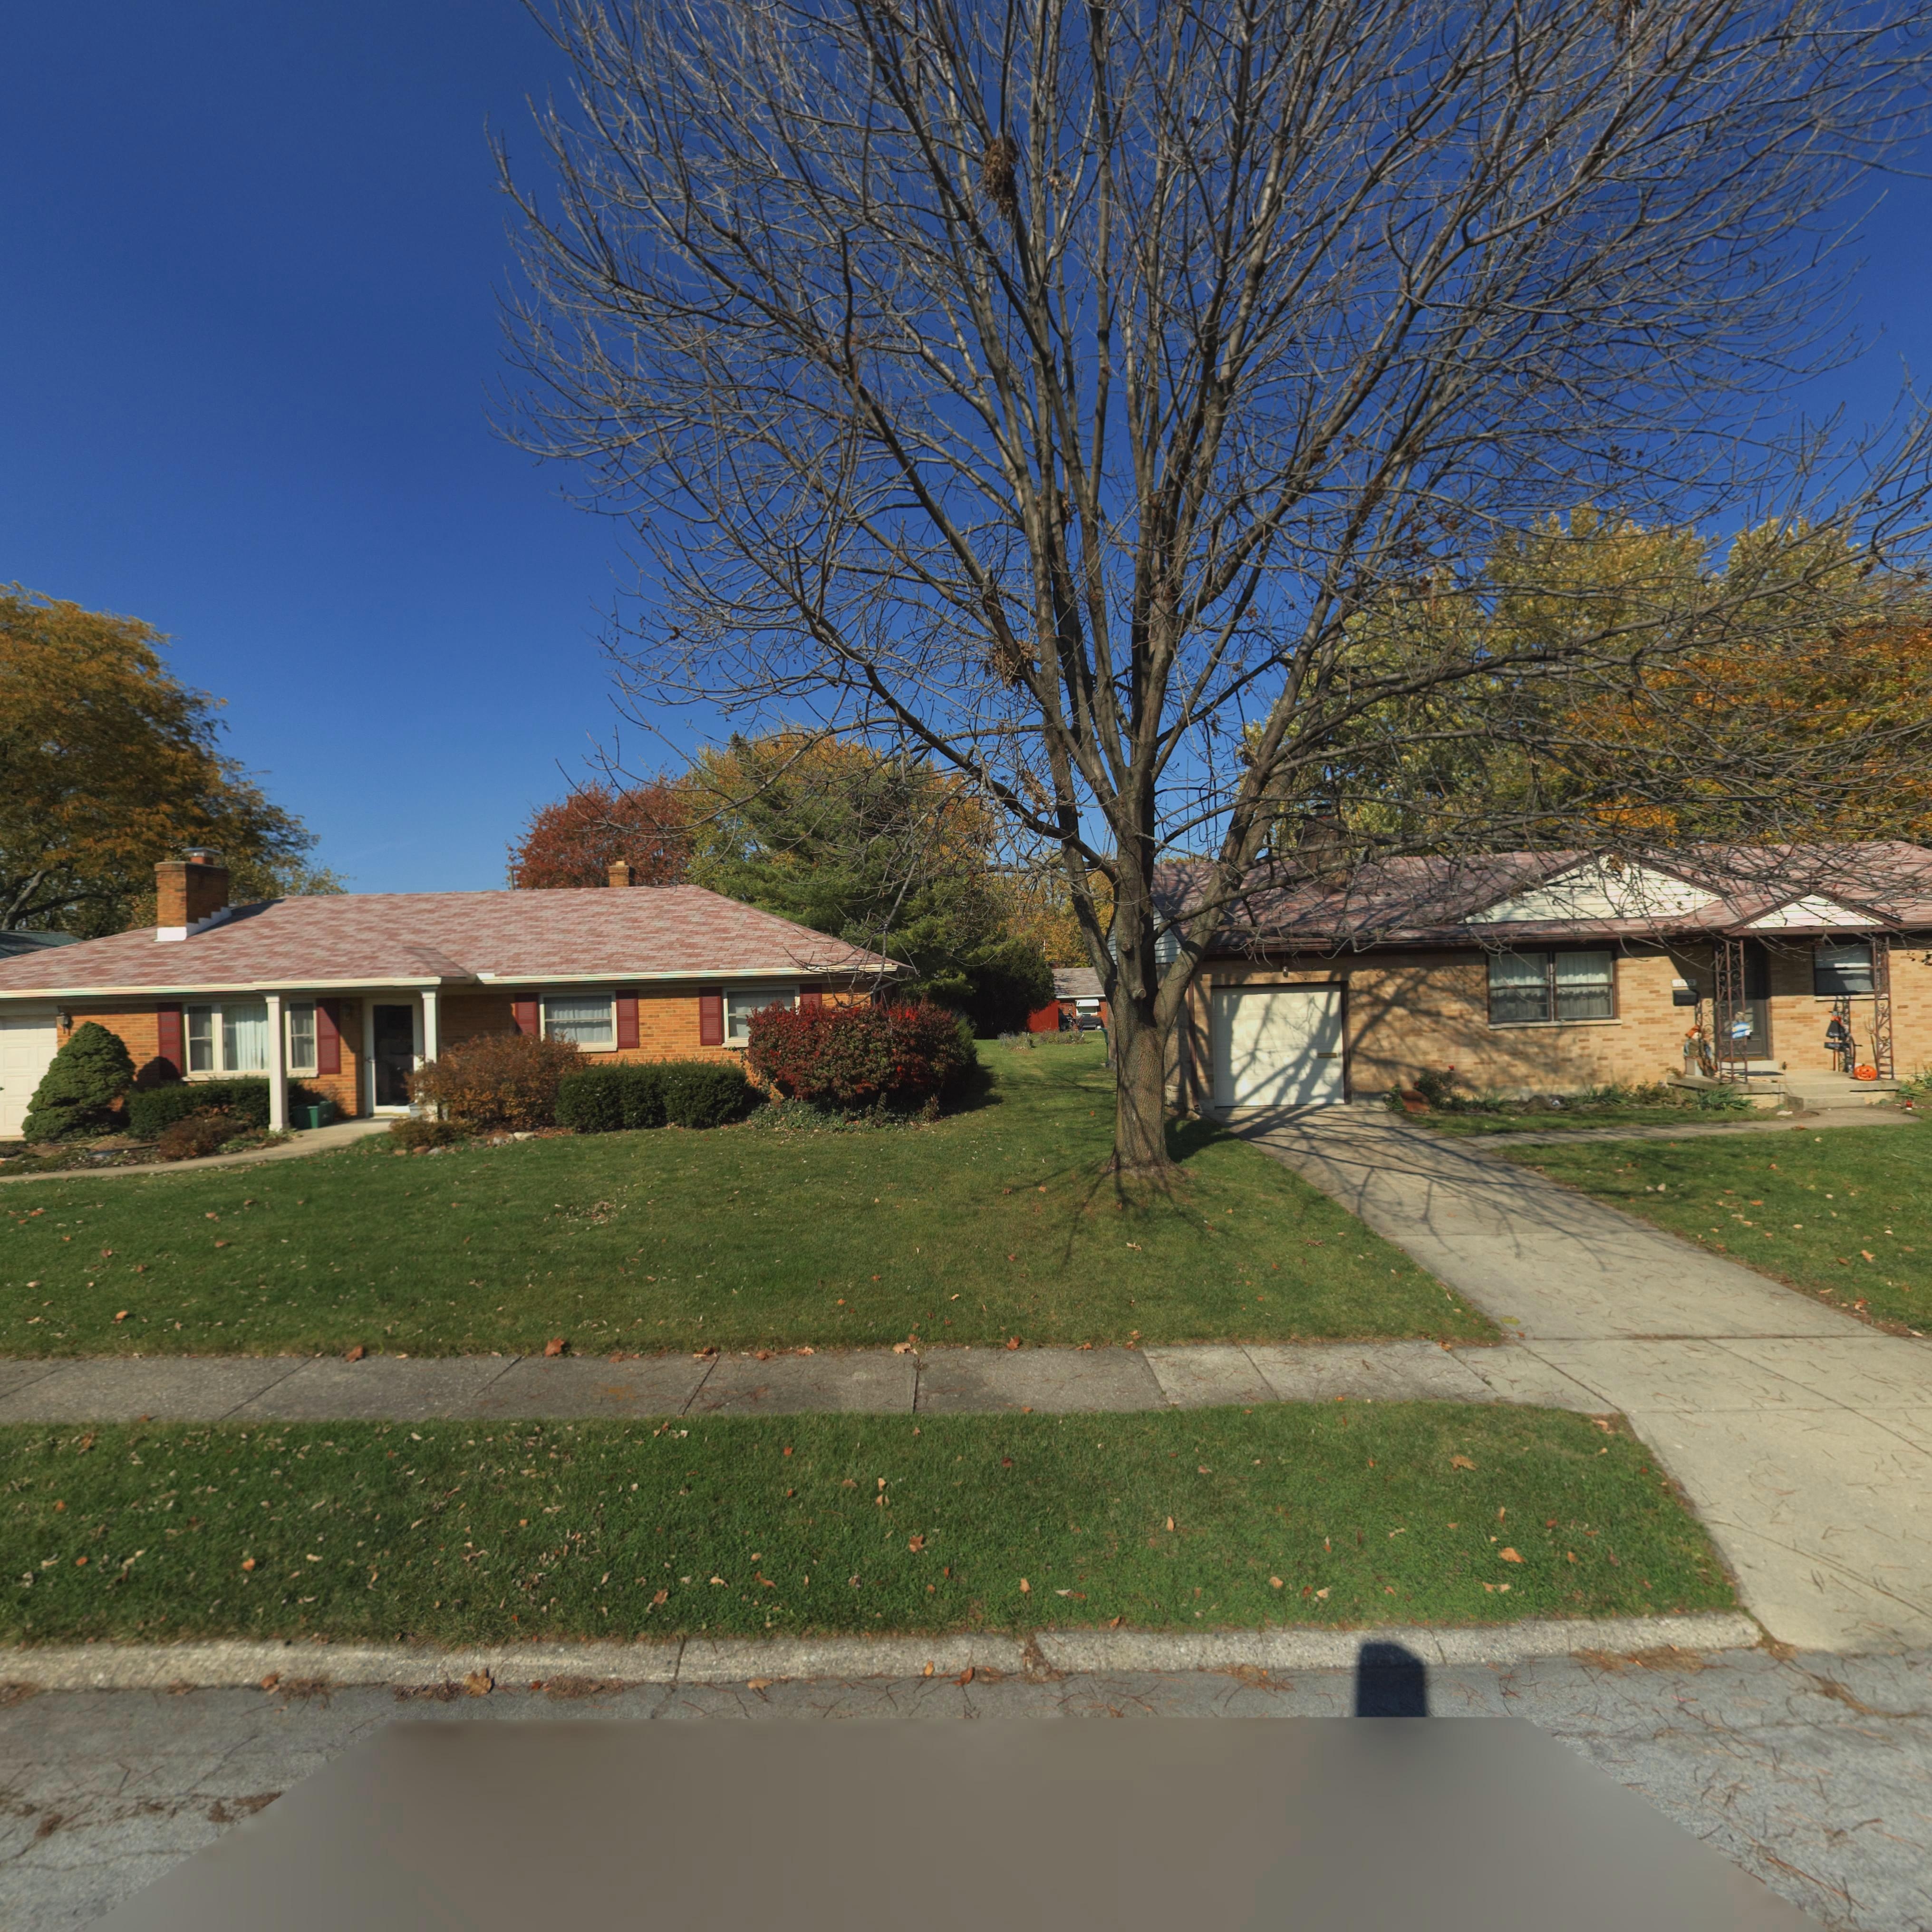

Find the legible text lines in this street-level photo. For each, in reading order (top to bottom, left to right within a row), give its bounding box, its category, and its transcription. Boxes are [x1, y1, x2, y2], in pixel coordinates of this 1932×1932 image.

[1677, 979, 1694, 986] StreetNumber: 1059